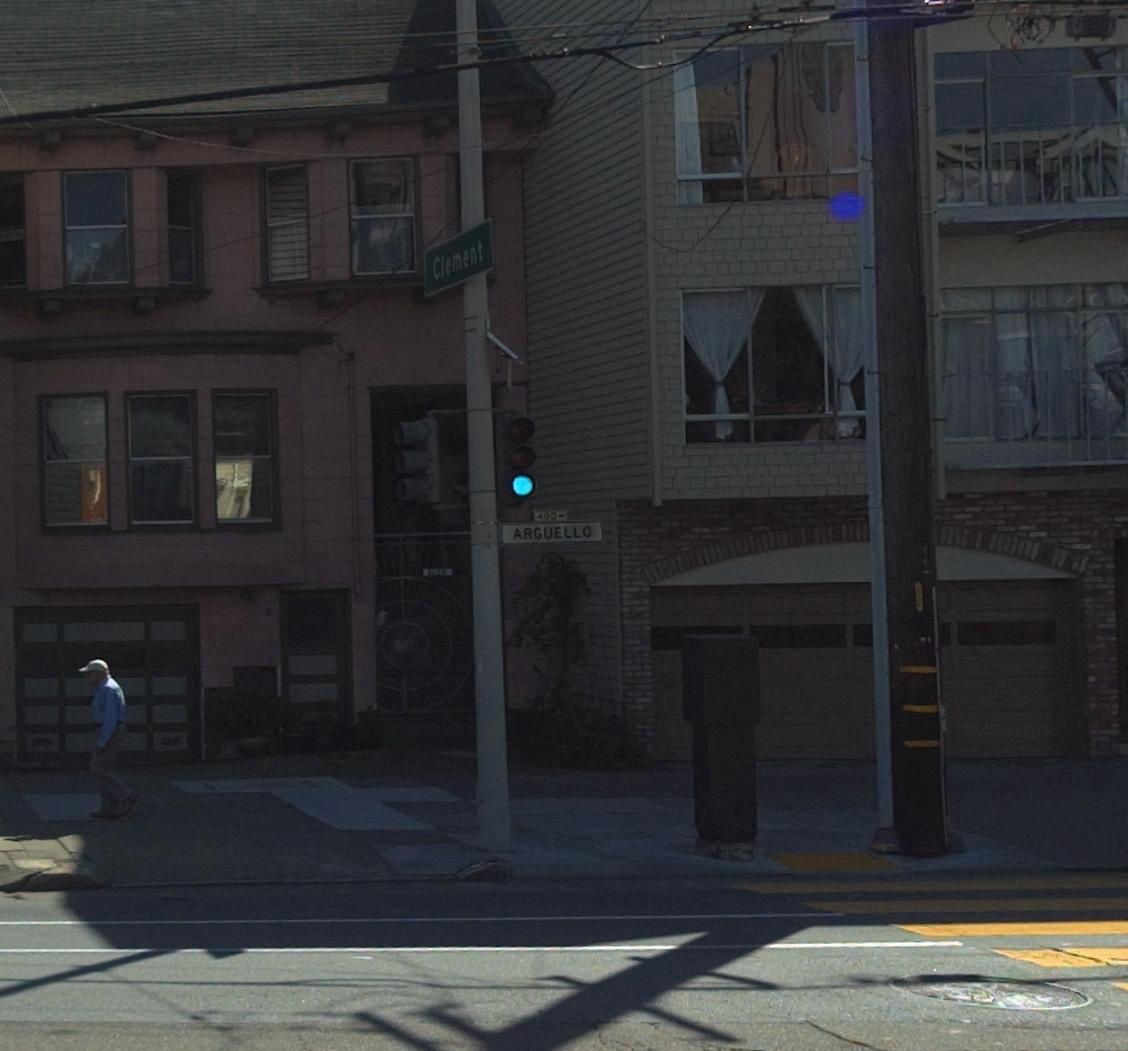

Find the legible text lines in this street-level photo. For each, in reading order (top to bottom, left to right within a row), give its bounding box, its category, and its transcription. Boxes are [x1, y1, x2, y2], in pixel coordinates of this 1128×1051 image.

[431, 236, 486, 283] StreetName: Clement
[535, 508, 567, 523] StreetNumberRange: 400->
[512, 523, 594, 543] StreetName: ARGUELLO